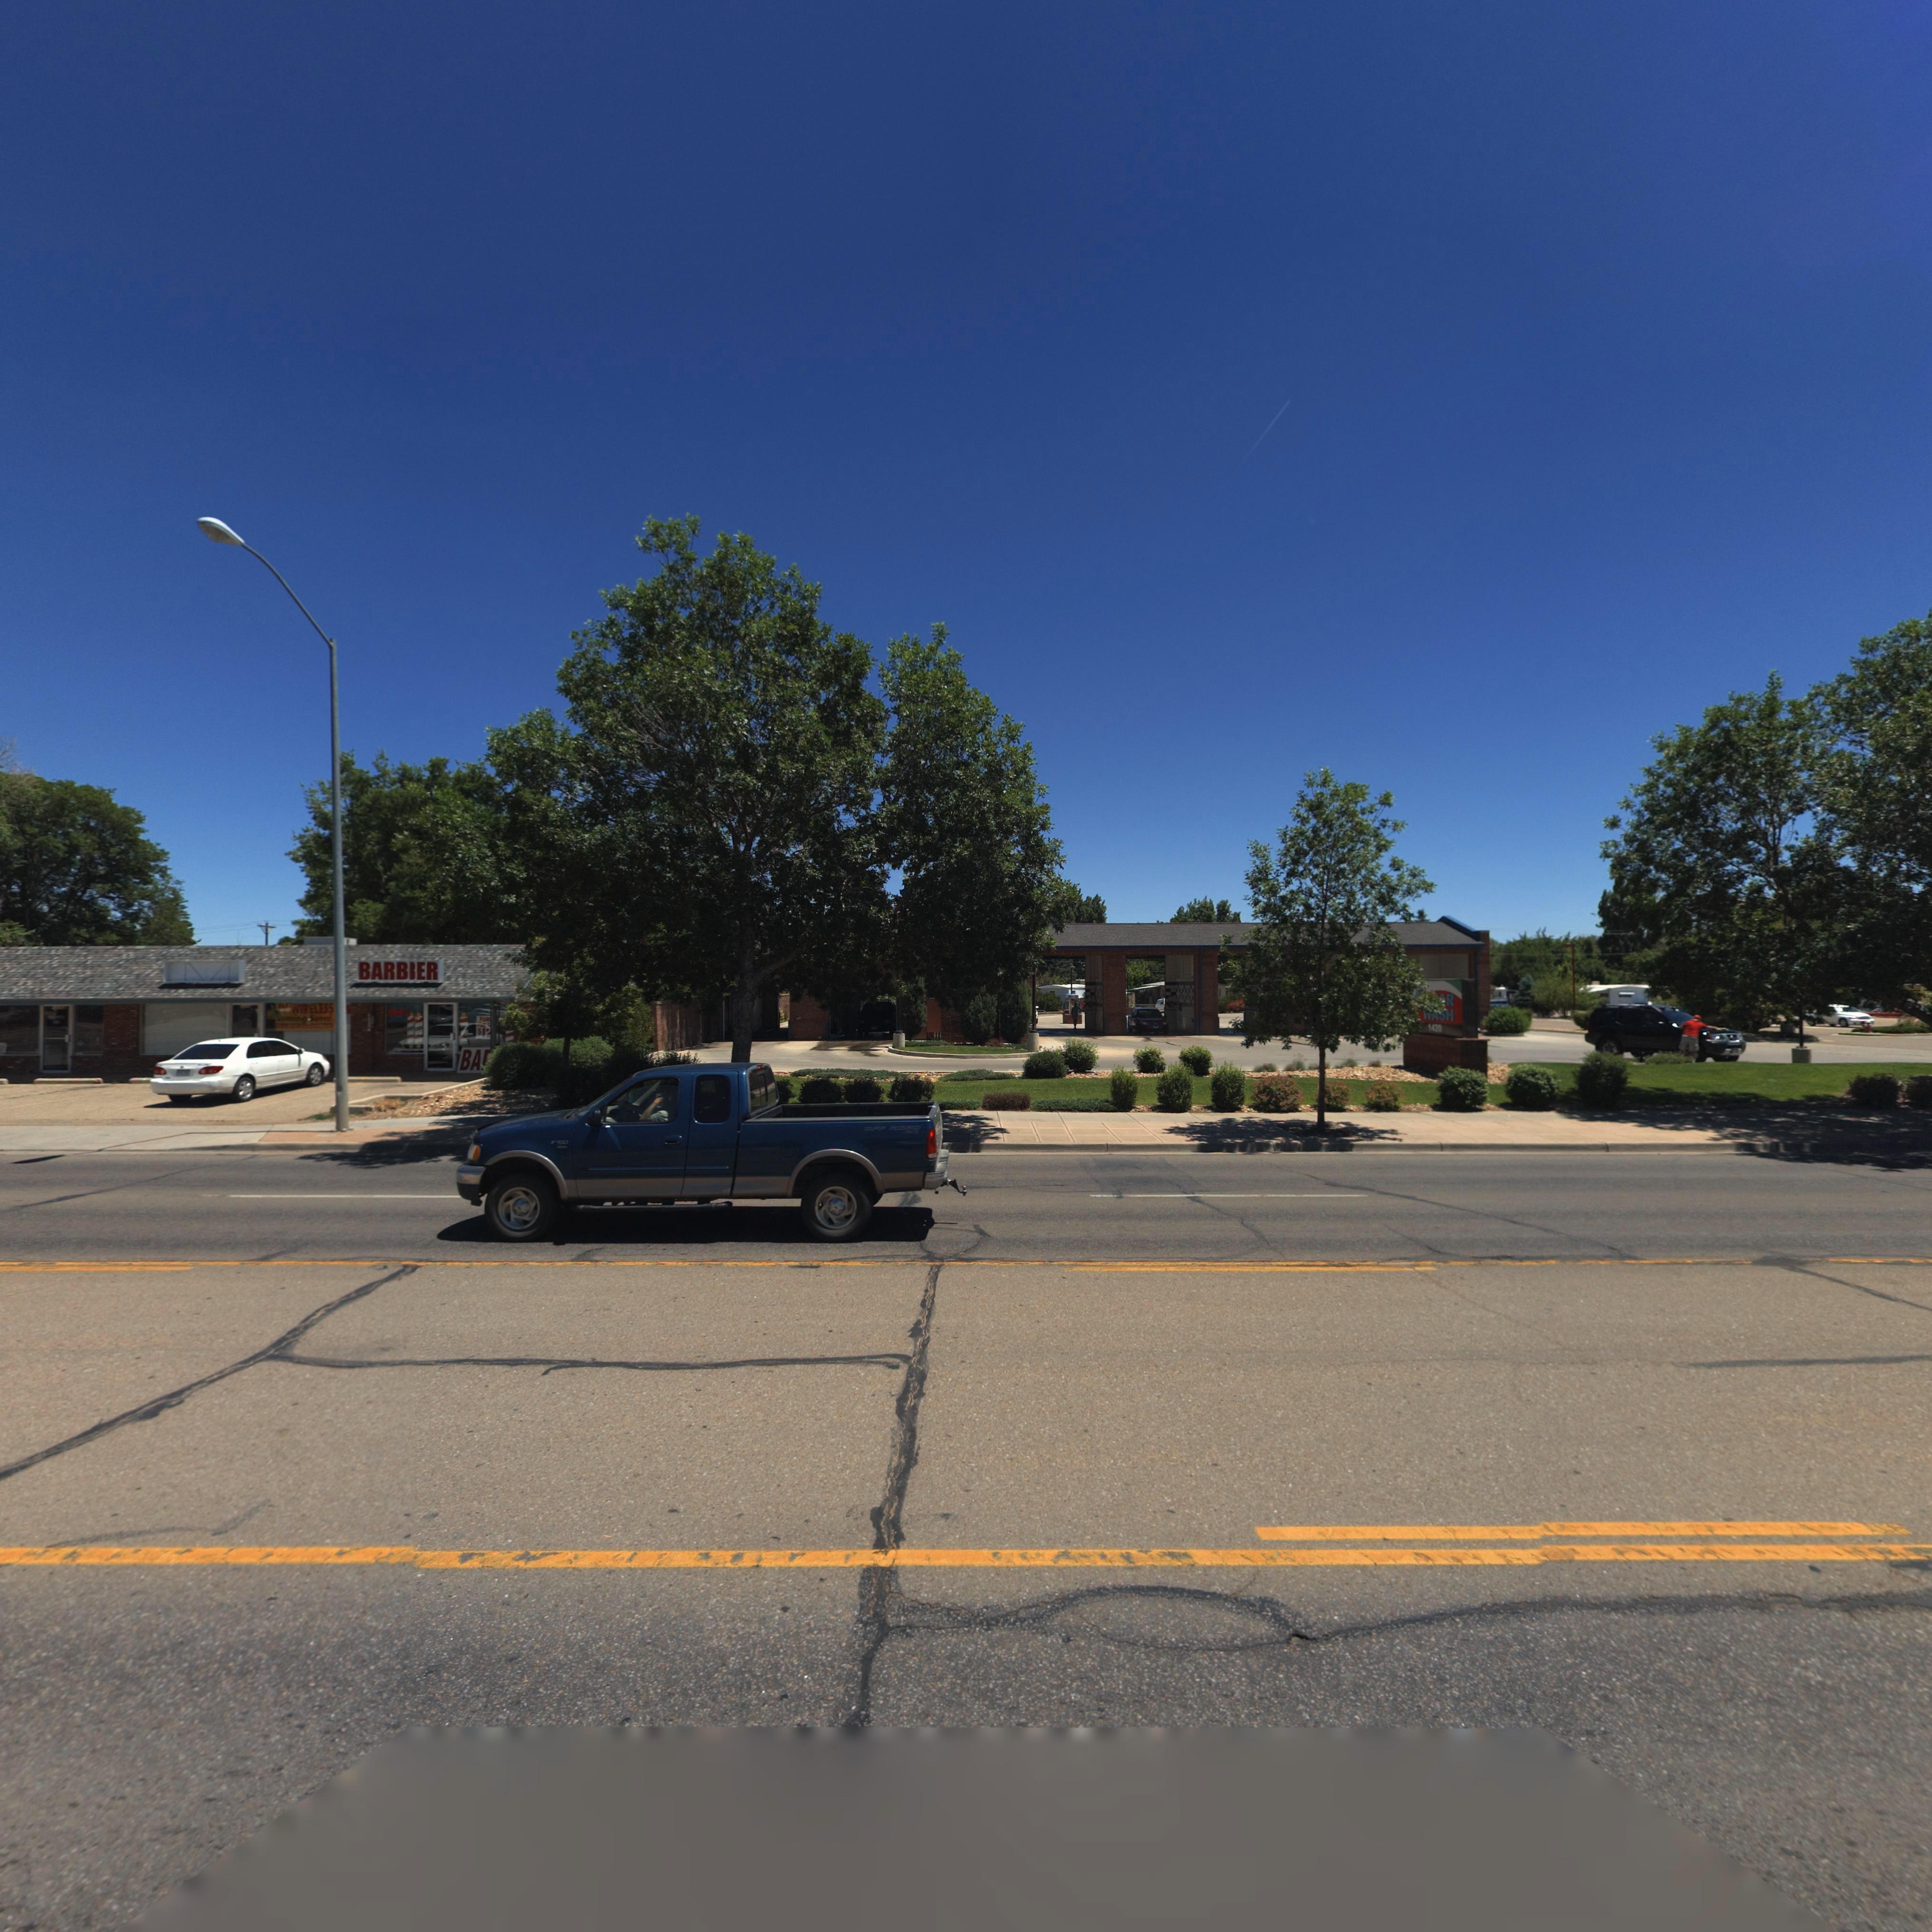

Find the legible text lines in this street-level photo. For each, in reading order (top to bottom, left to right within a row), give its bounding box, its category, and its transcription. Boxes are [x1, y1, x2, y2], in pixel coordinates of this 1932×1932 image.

[1427, 1023, 1442, 1032] StreetNumber: *1420